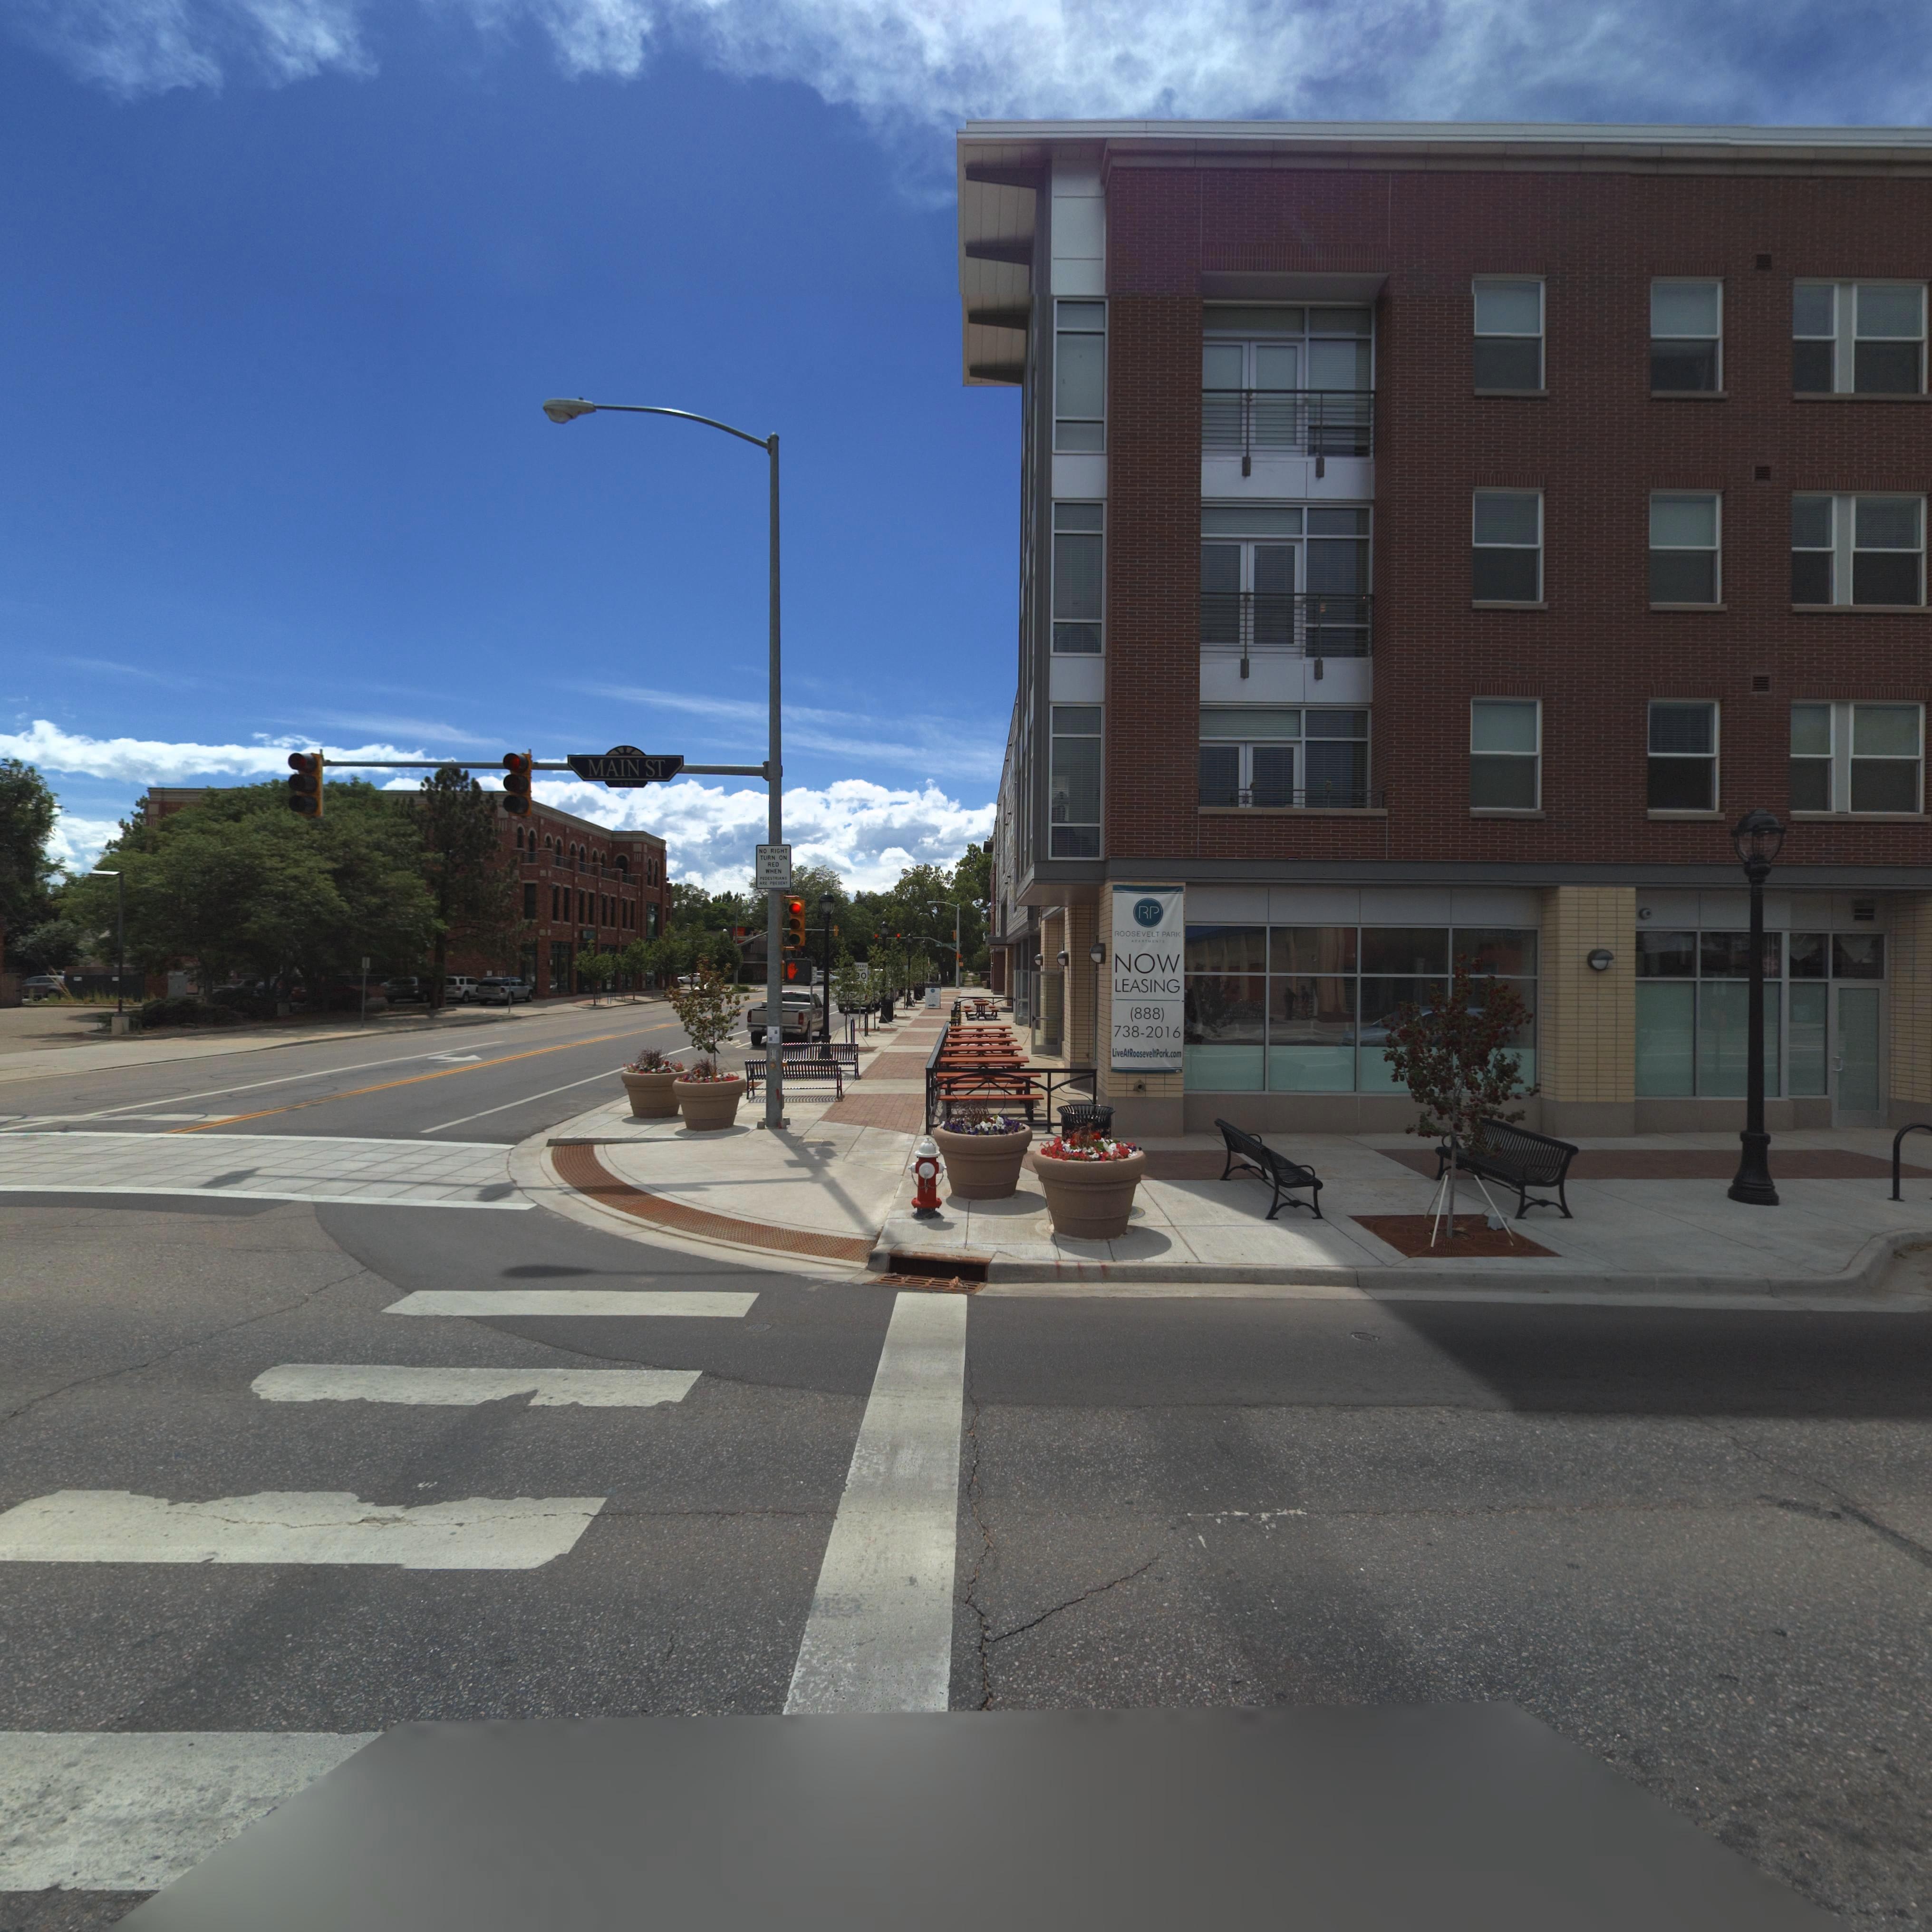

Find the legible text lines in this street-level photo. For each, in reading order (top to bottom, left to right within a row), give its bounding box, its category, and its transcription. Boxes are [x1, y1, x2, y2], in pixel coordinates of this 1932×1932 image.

[587, 759, 666, 777] StreetName: MAIN ST
[619, 781, 634, 787] StreetNumberRange: 600
[940, 943, 956, 947] StreetName: C*******